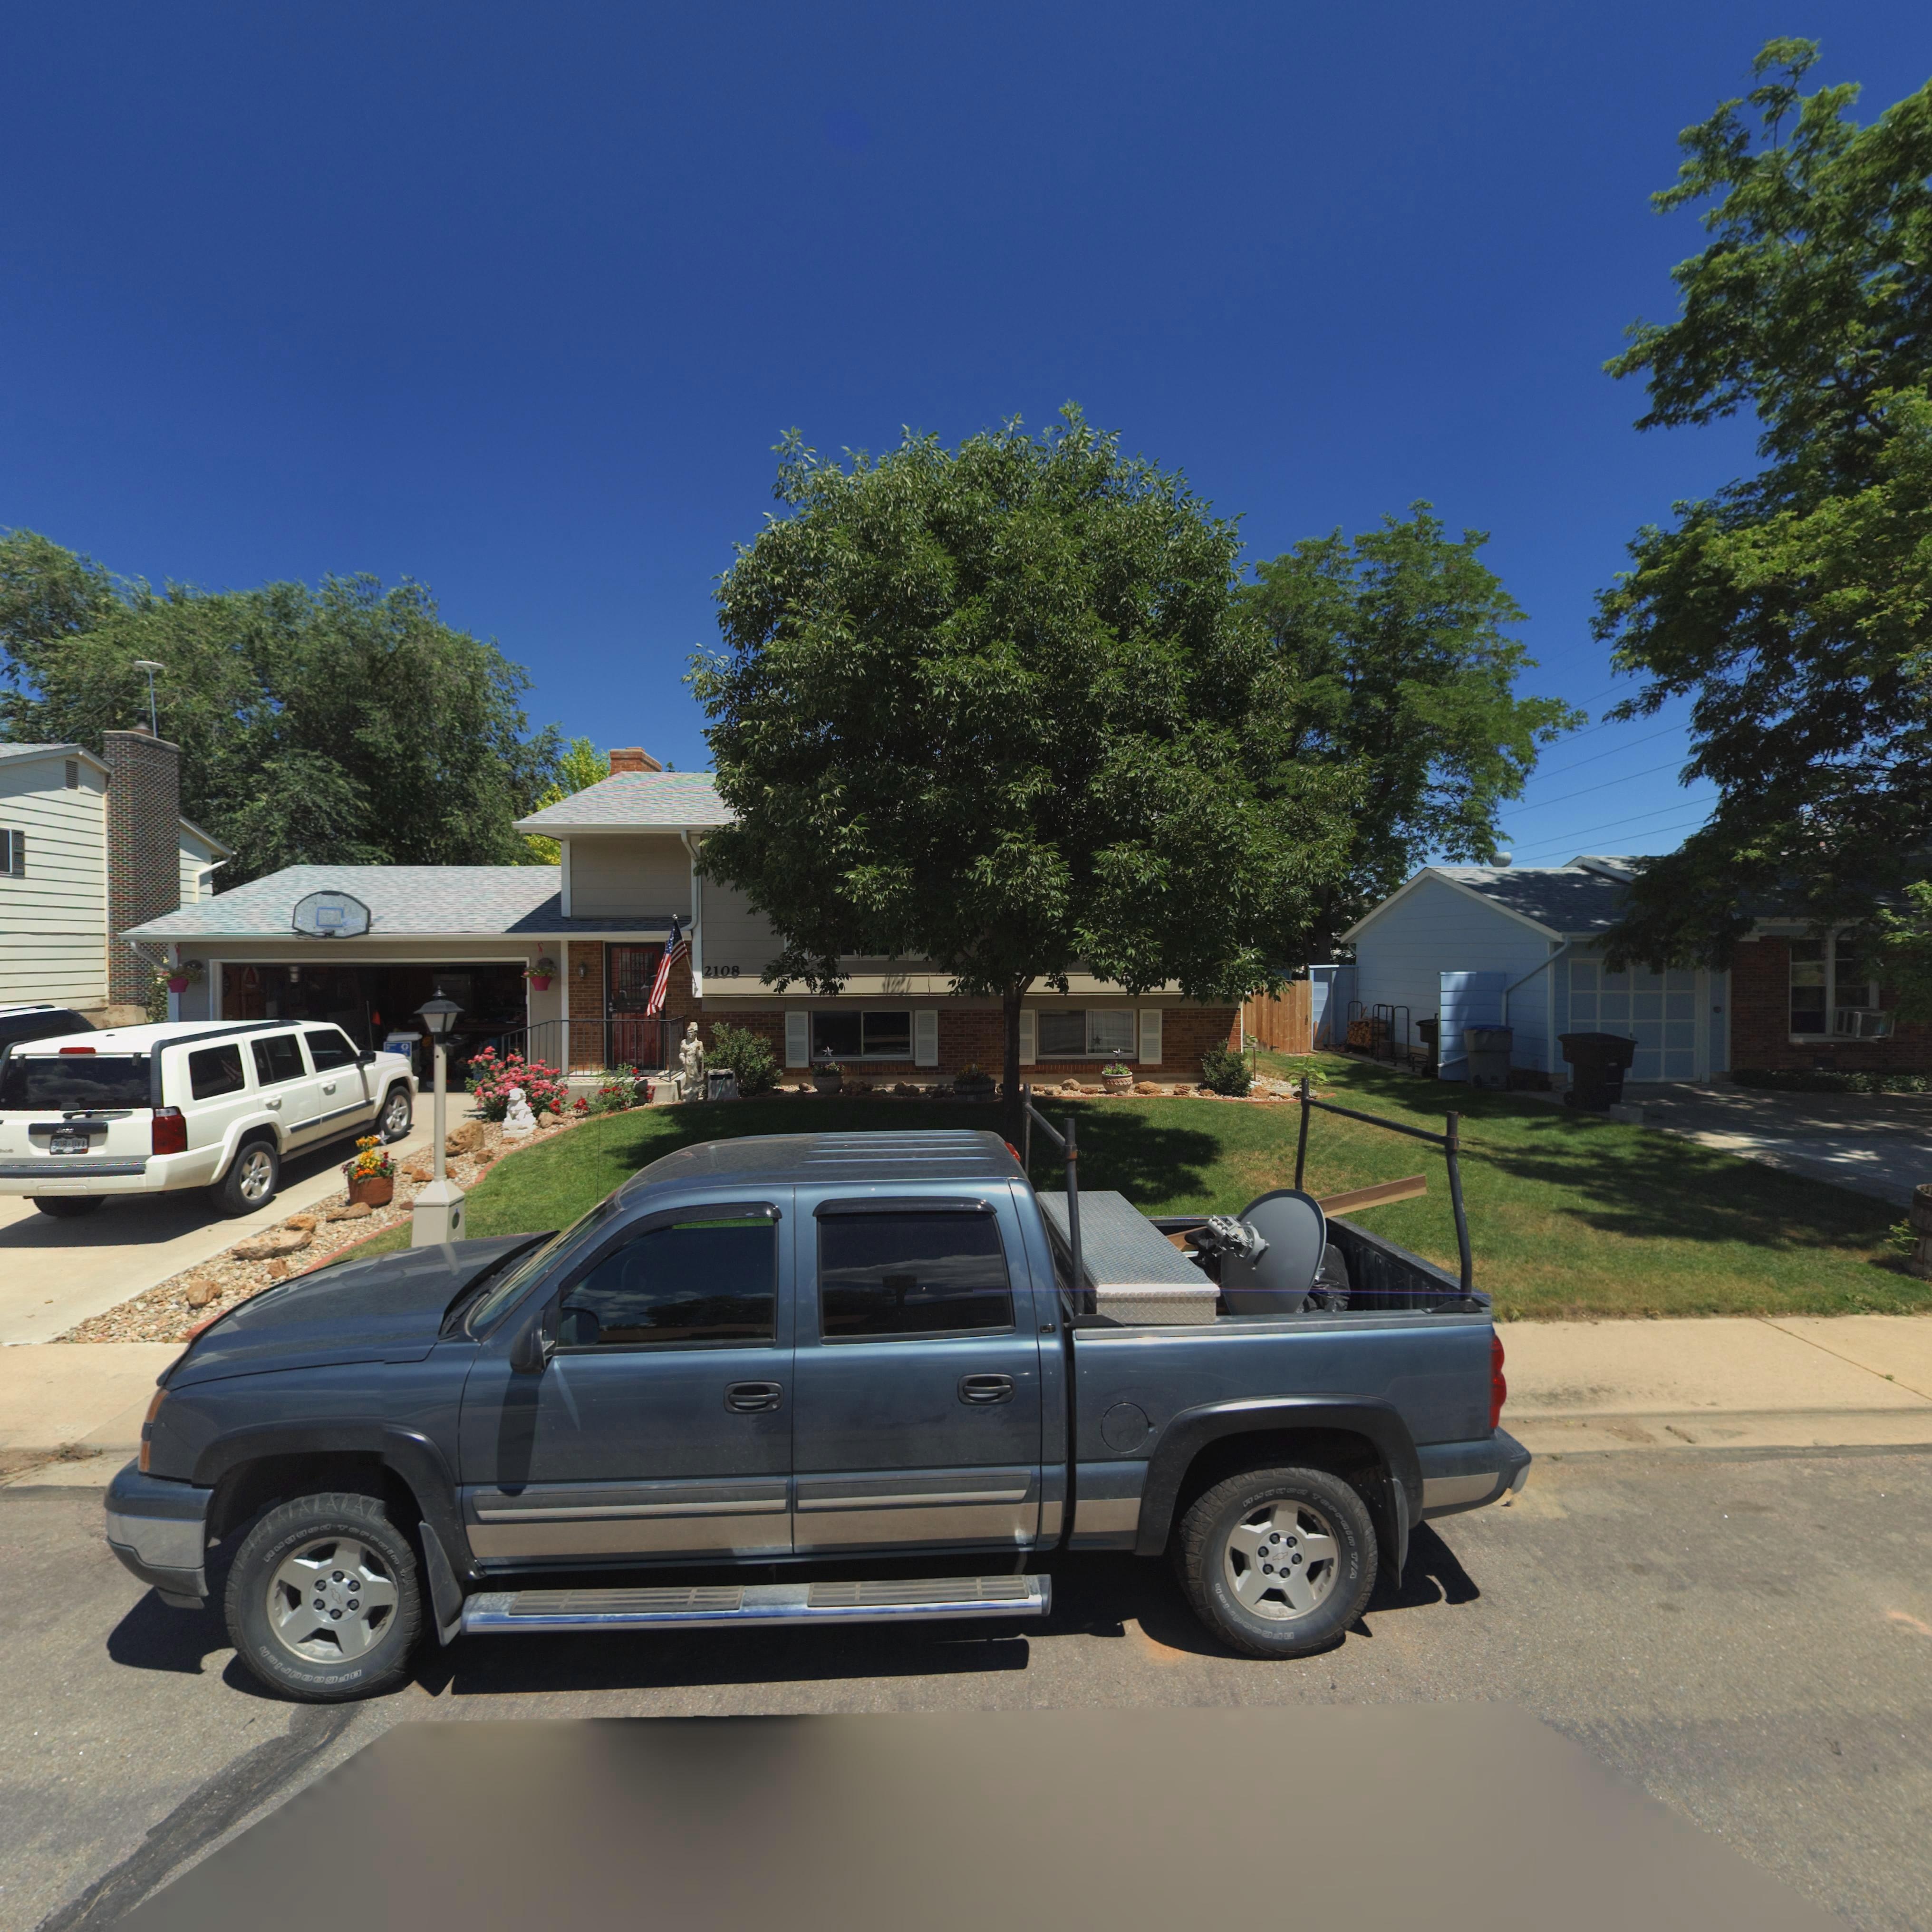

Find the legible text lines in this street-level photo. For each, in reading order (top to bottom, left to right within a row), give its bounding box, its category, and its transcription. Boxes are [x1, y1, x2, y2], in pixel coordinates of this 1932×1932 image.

[704, 965, 740, 977] StreetNumber: 2108